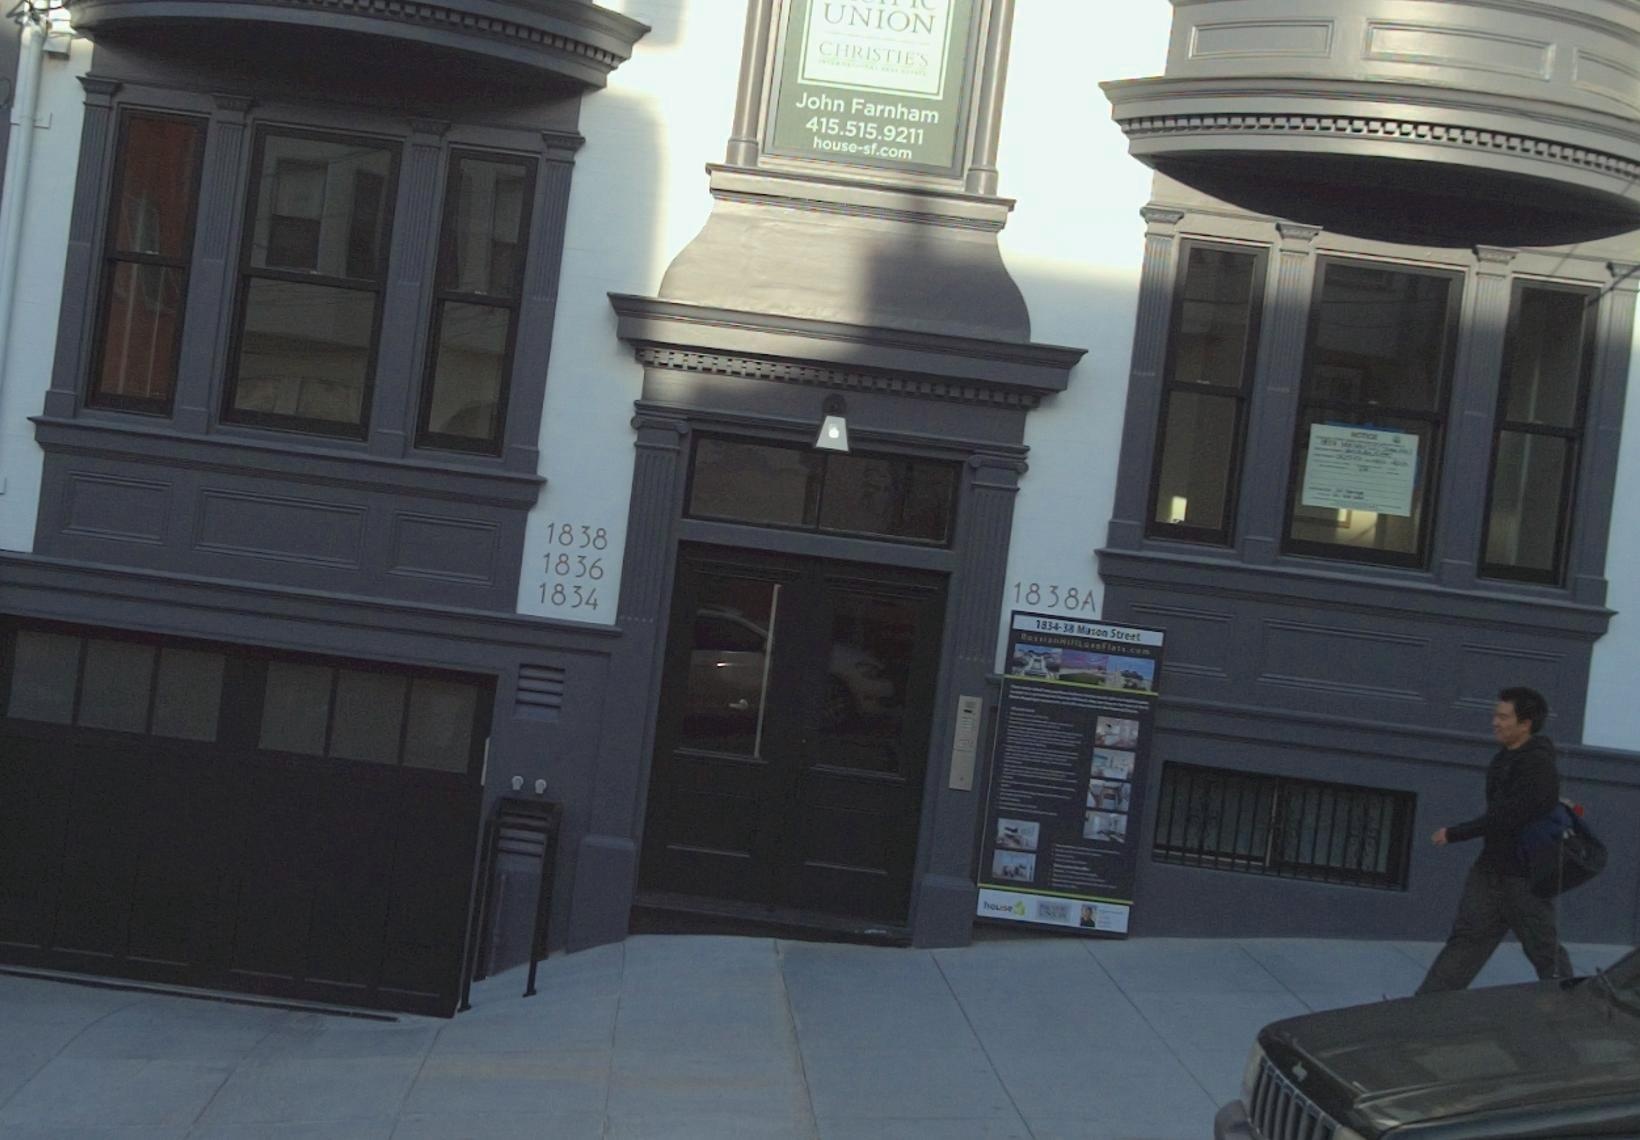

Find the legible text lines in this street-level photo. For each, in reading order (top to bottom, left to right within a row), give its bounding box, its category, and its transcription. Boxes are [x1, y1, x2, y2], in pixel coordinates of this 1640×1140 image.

[821, 0, 938, 38] BusinessName: UNION
[816, 38, 930, 70] BusinessName: CHRISTIE'S
[793, 89, 940, 126] None: John Farnham
[811, 134, 914, 162] None: house-sf.com
[803, 114, 925, 147] None: 415.515.9211
[543, 518, 613, 555] StreetNumber: 1838
[539, 548, 609, 585] StreetNumber: 1836
[533, 578, 601, 614] StreetNumber: 1834
[1012, 578, 1100, 617] StreetNumber: 1838A
[1034, 617, 1077, 636] StreetNumber: 1834-38
[1075, 621, 1144, 644] StreetName: Mason Street